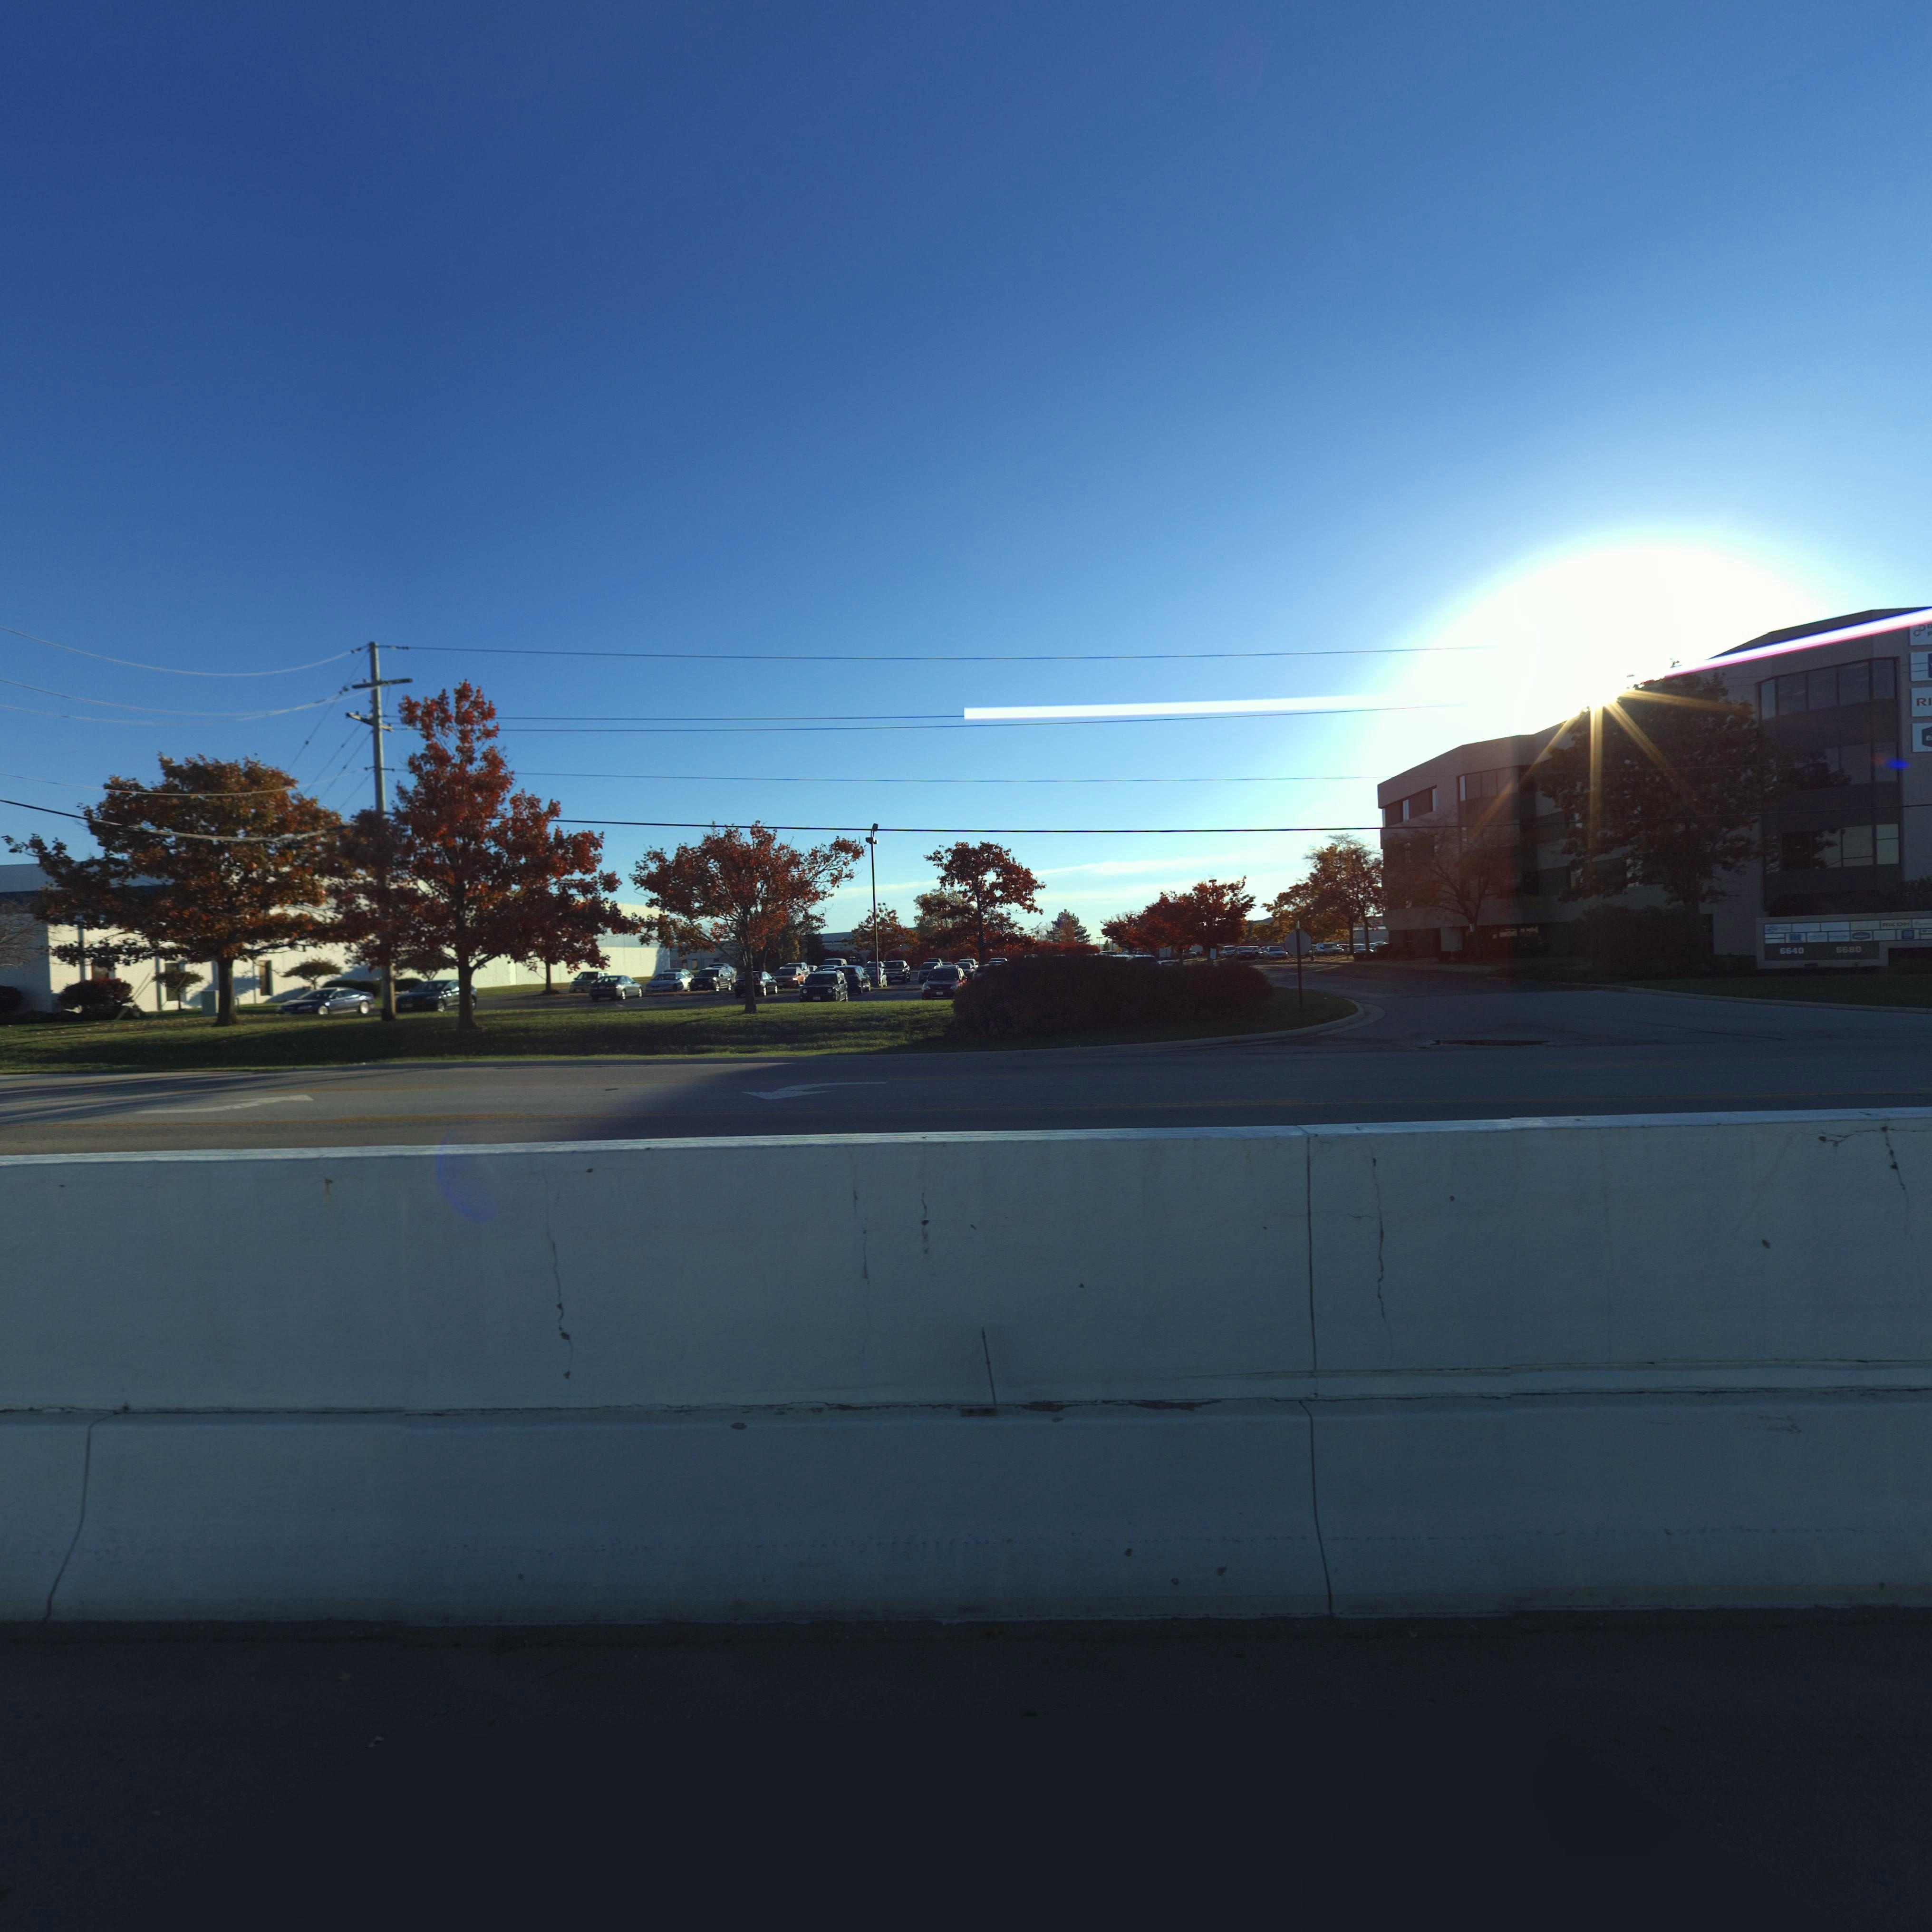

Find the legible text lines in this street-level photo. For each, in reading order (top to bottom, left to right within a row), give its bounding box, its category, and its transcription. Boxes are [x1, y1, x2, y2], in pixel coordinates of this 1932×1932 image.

[1779, 946, 1805, 956] StreetNumber: 6640
[1834, 945, 1863, 955] StreetNumber: 6680